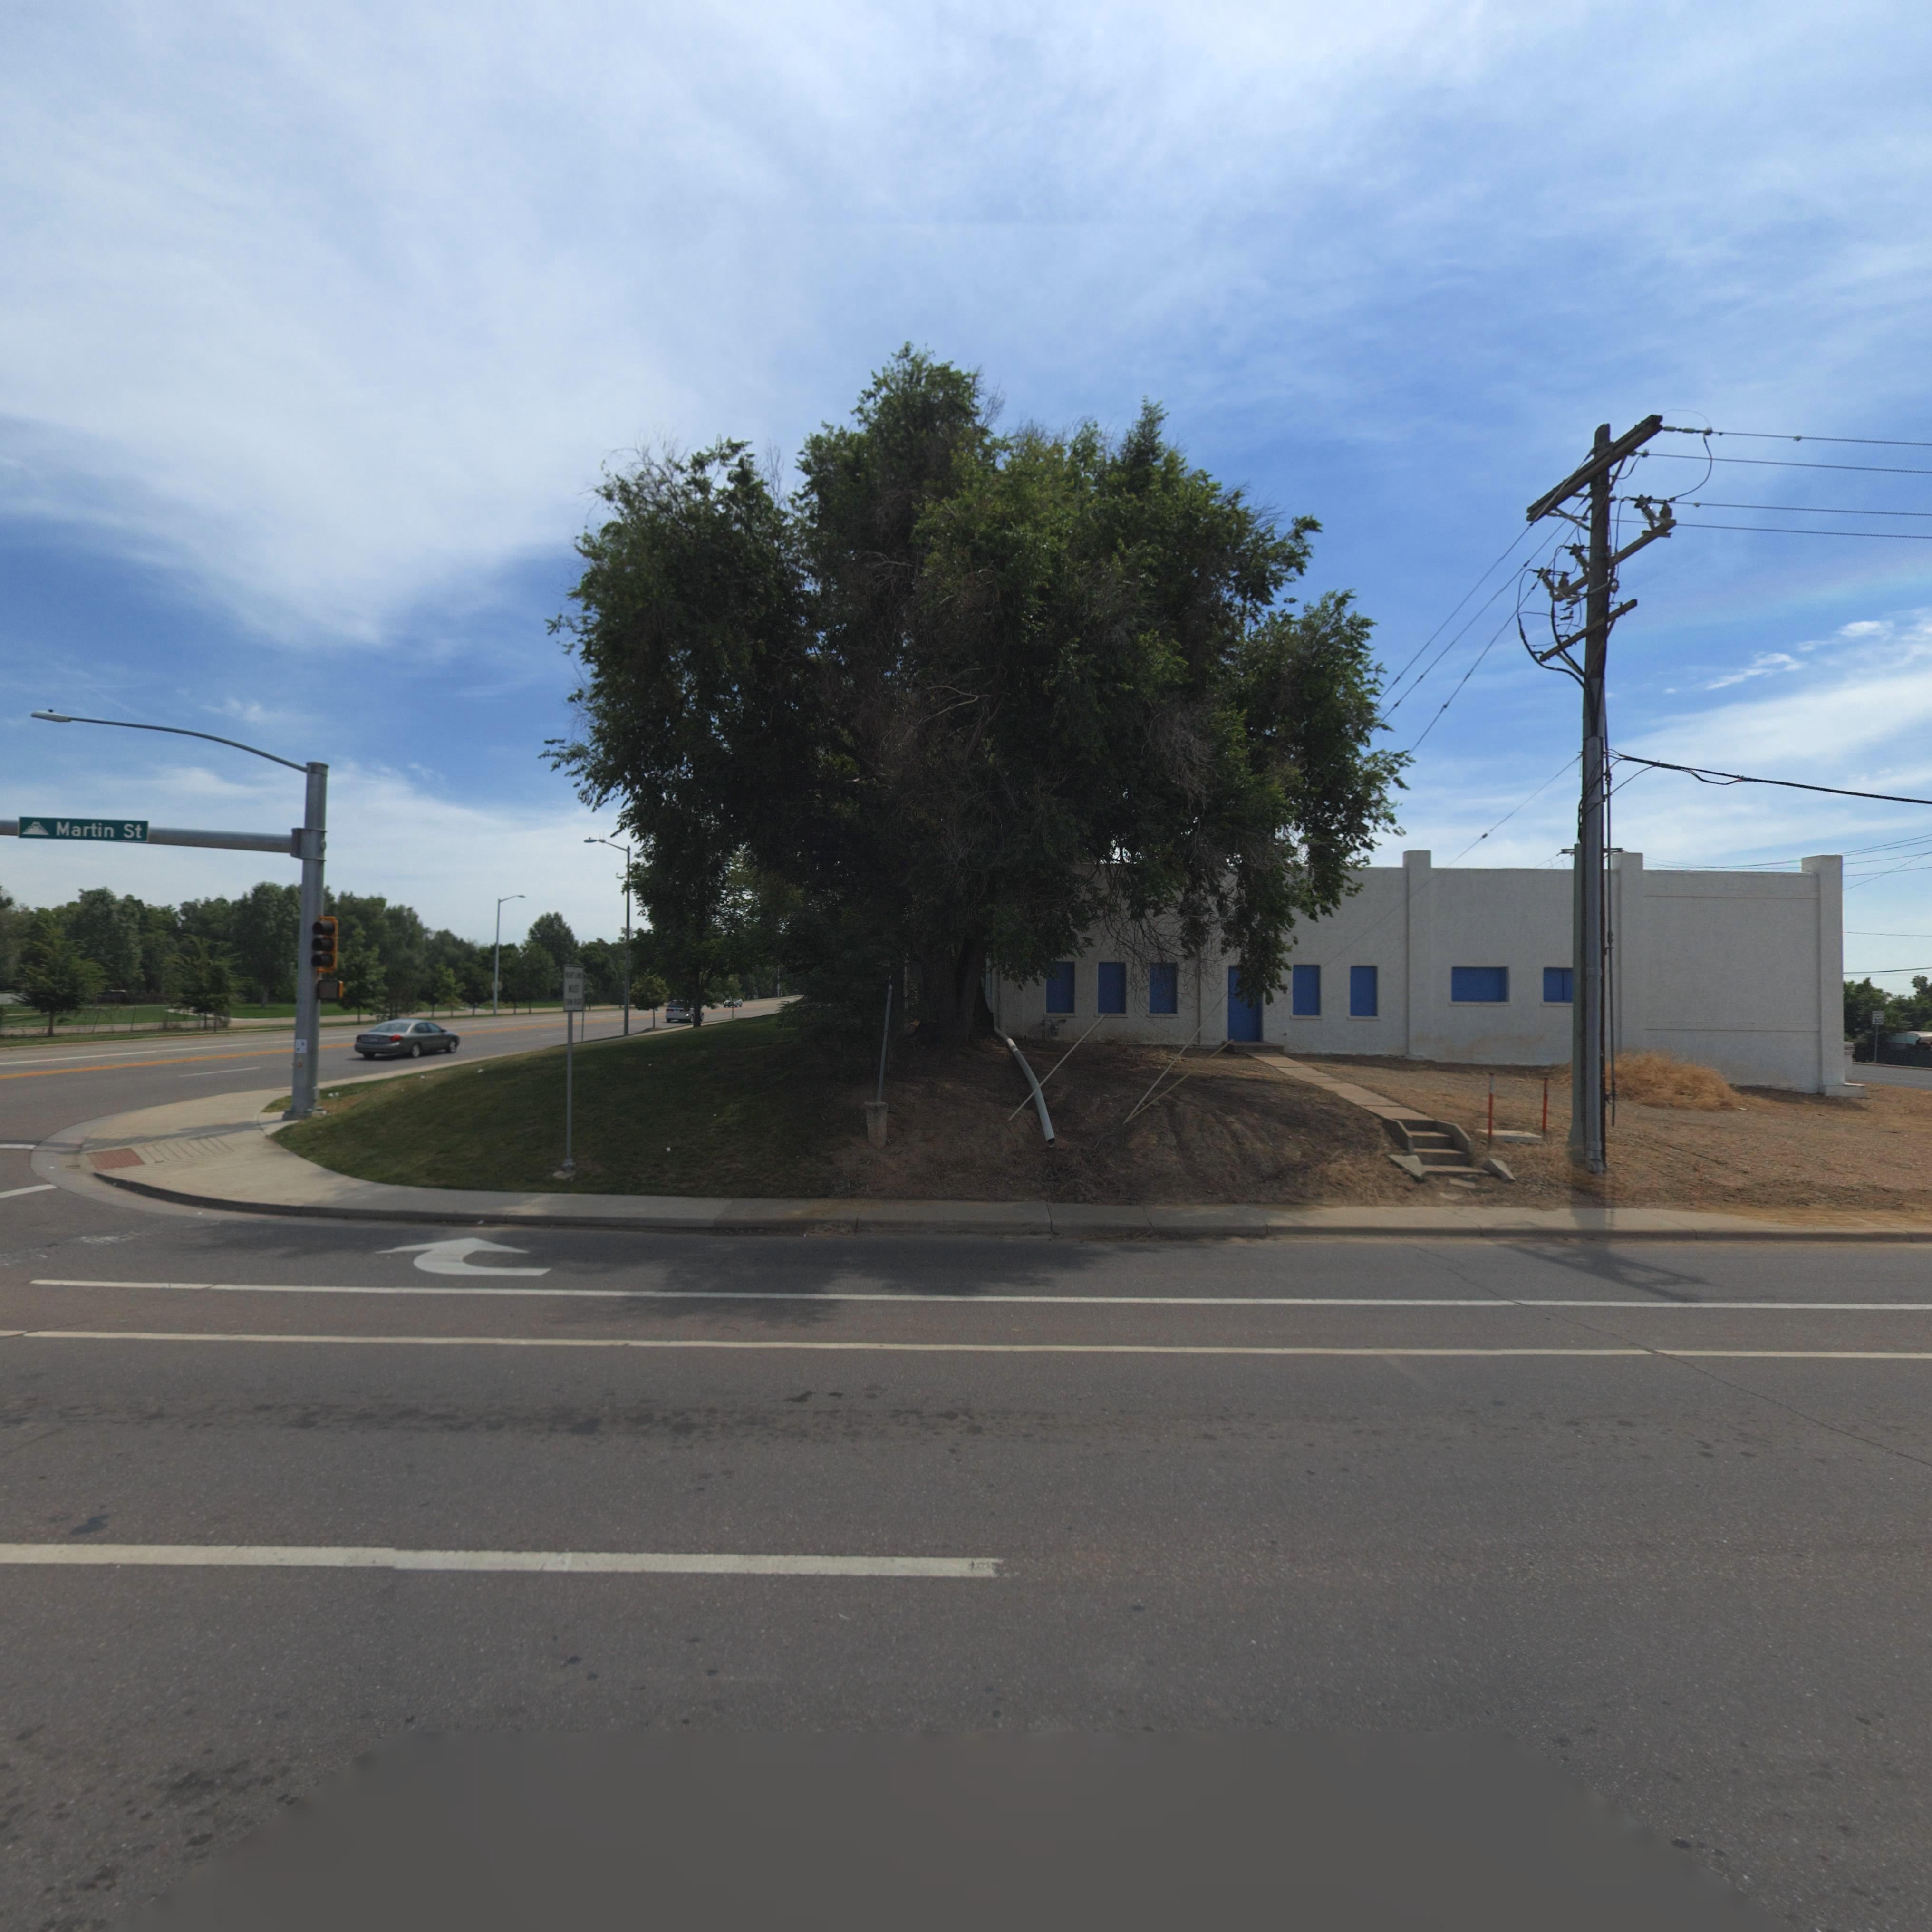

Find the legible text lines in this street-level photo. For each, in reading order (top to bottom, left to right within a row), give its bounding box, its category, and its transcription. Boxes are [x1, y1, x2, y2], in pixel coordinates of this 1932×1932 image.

[55, 821, 141, 838] StreetName: Martin St